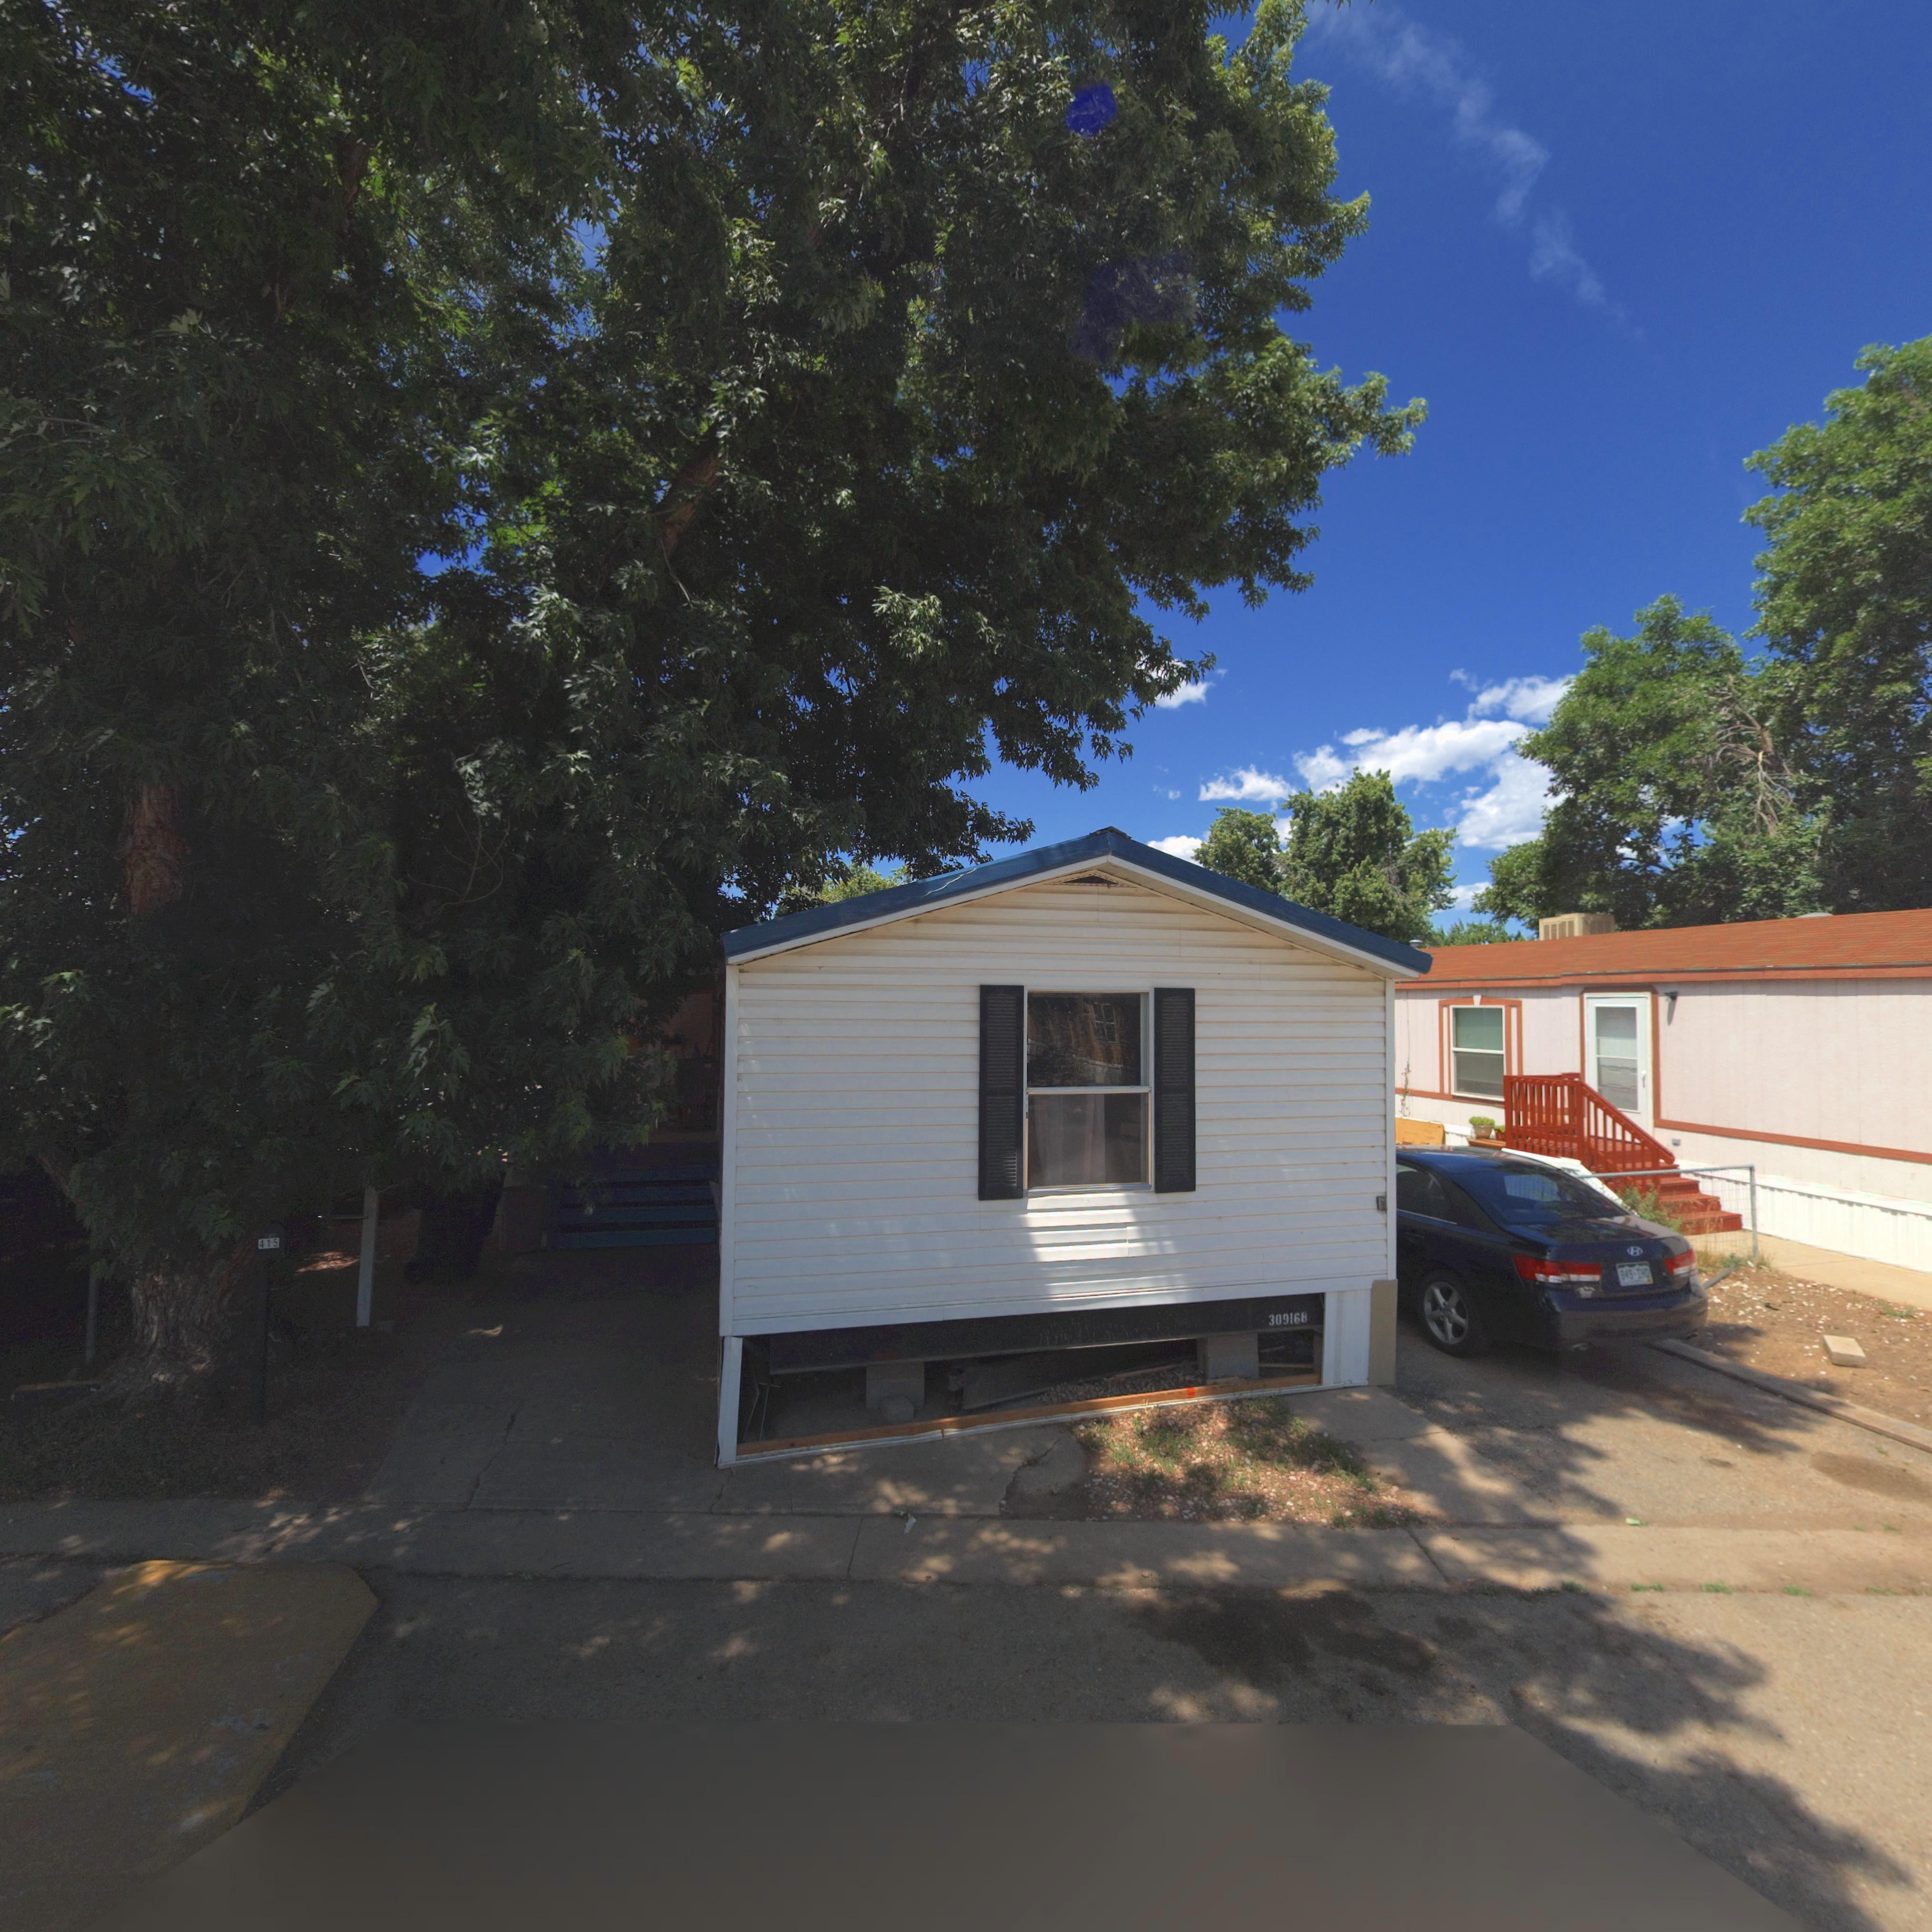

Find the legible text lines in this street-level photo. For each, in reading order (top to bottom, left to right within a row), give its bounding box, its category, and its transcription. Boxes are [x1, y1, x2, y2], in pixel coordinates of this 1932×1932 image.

[258, 1237, 278, 1248] StreetNumber: 415